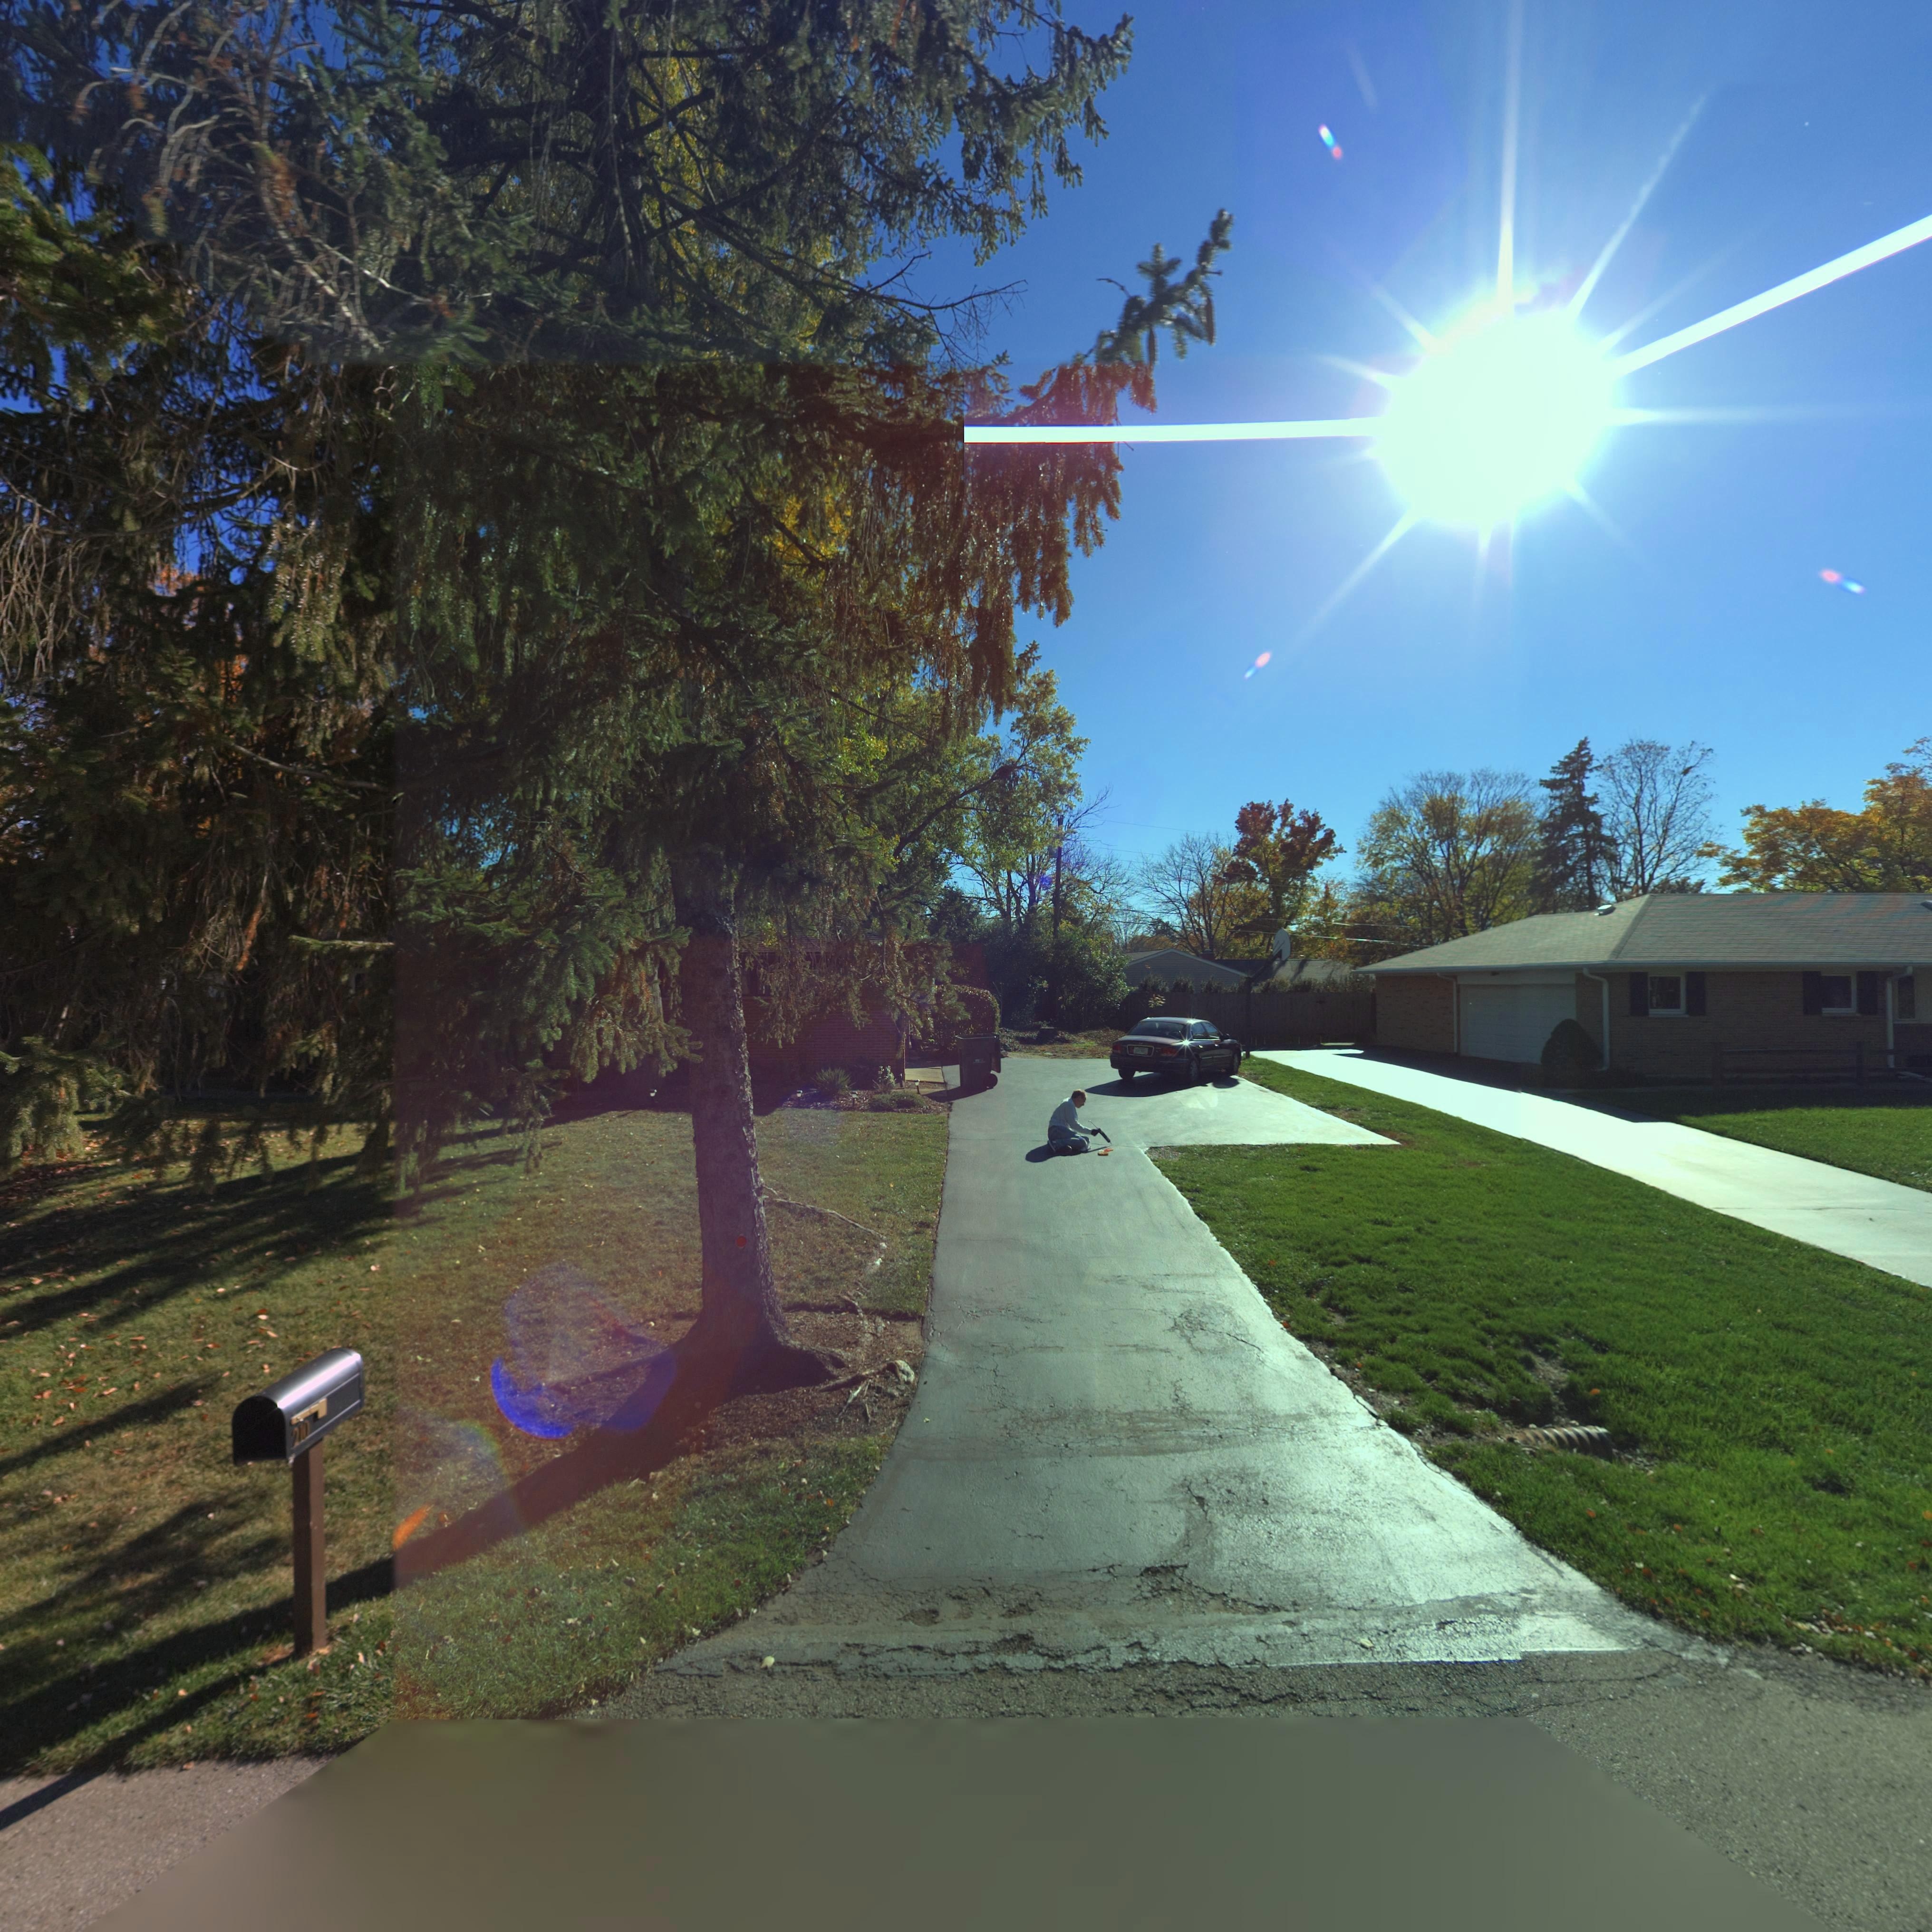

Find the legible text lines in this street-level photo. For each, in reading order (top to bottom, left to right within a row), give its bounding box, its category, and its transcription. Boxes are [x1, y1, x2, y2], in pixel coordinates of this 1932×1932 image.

[291, 1418, 311, 1449] StreetNumber: 210